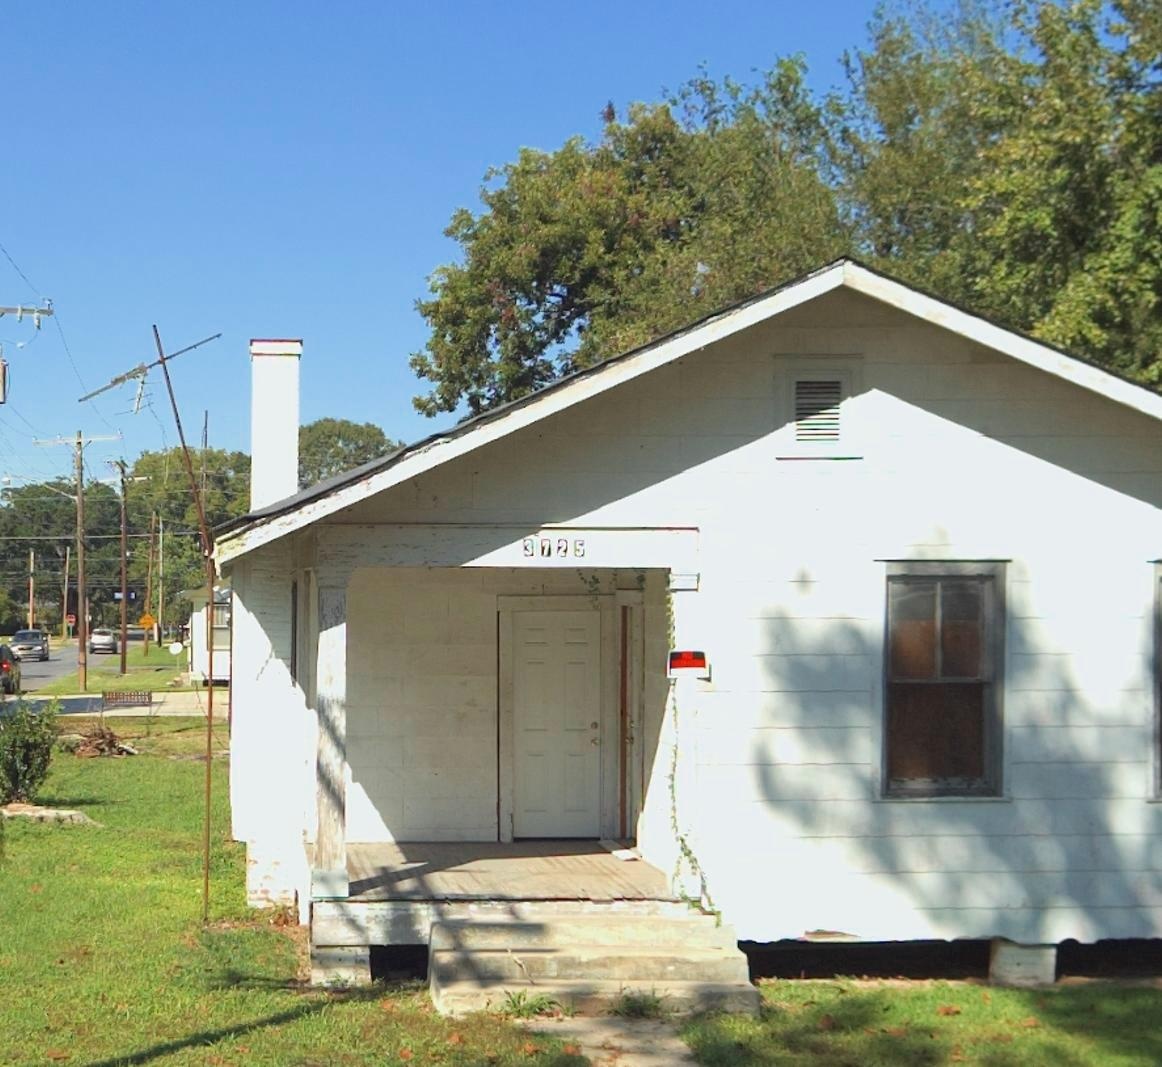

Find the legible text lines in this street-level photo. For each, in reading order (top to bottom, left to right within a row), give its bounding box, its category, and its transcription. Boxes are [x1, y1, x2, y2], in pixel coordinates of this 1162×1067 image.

[524, 538, 585, 557] StreetNumber: 3725